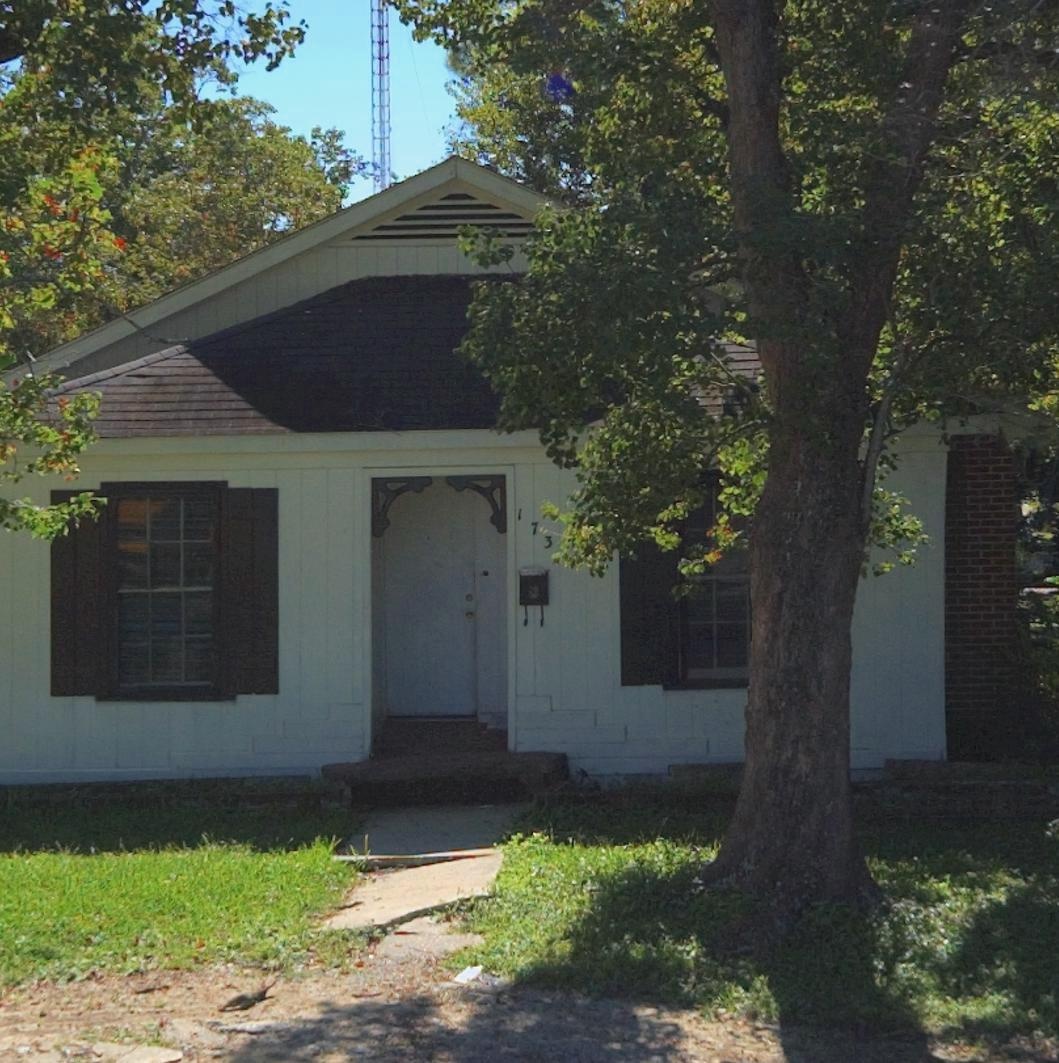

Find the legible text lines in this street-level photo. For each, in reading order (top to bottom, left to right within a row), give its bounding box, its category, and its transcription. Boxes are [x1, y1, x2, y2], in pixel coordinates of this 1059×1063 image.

[516, 507, 554, 550] StreetNumber: 173